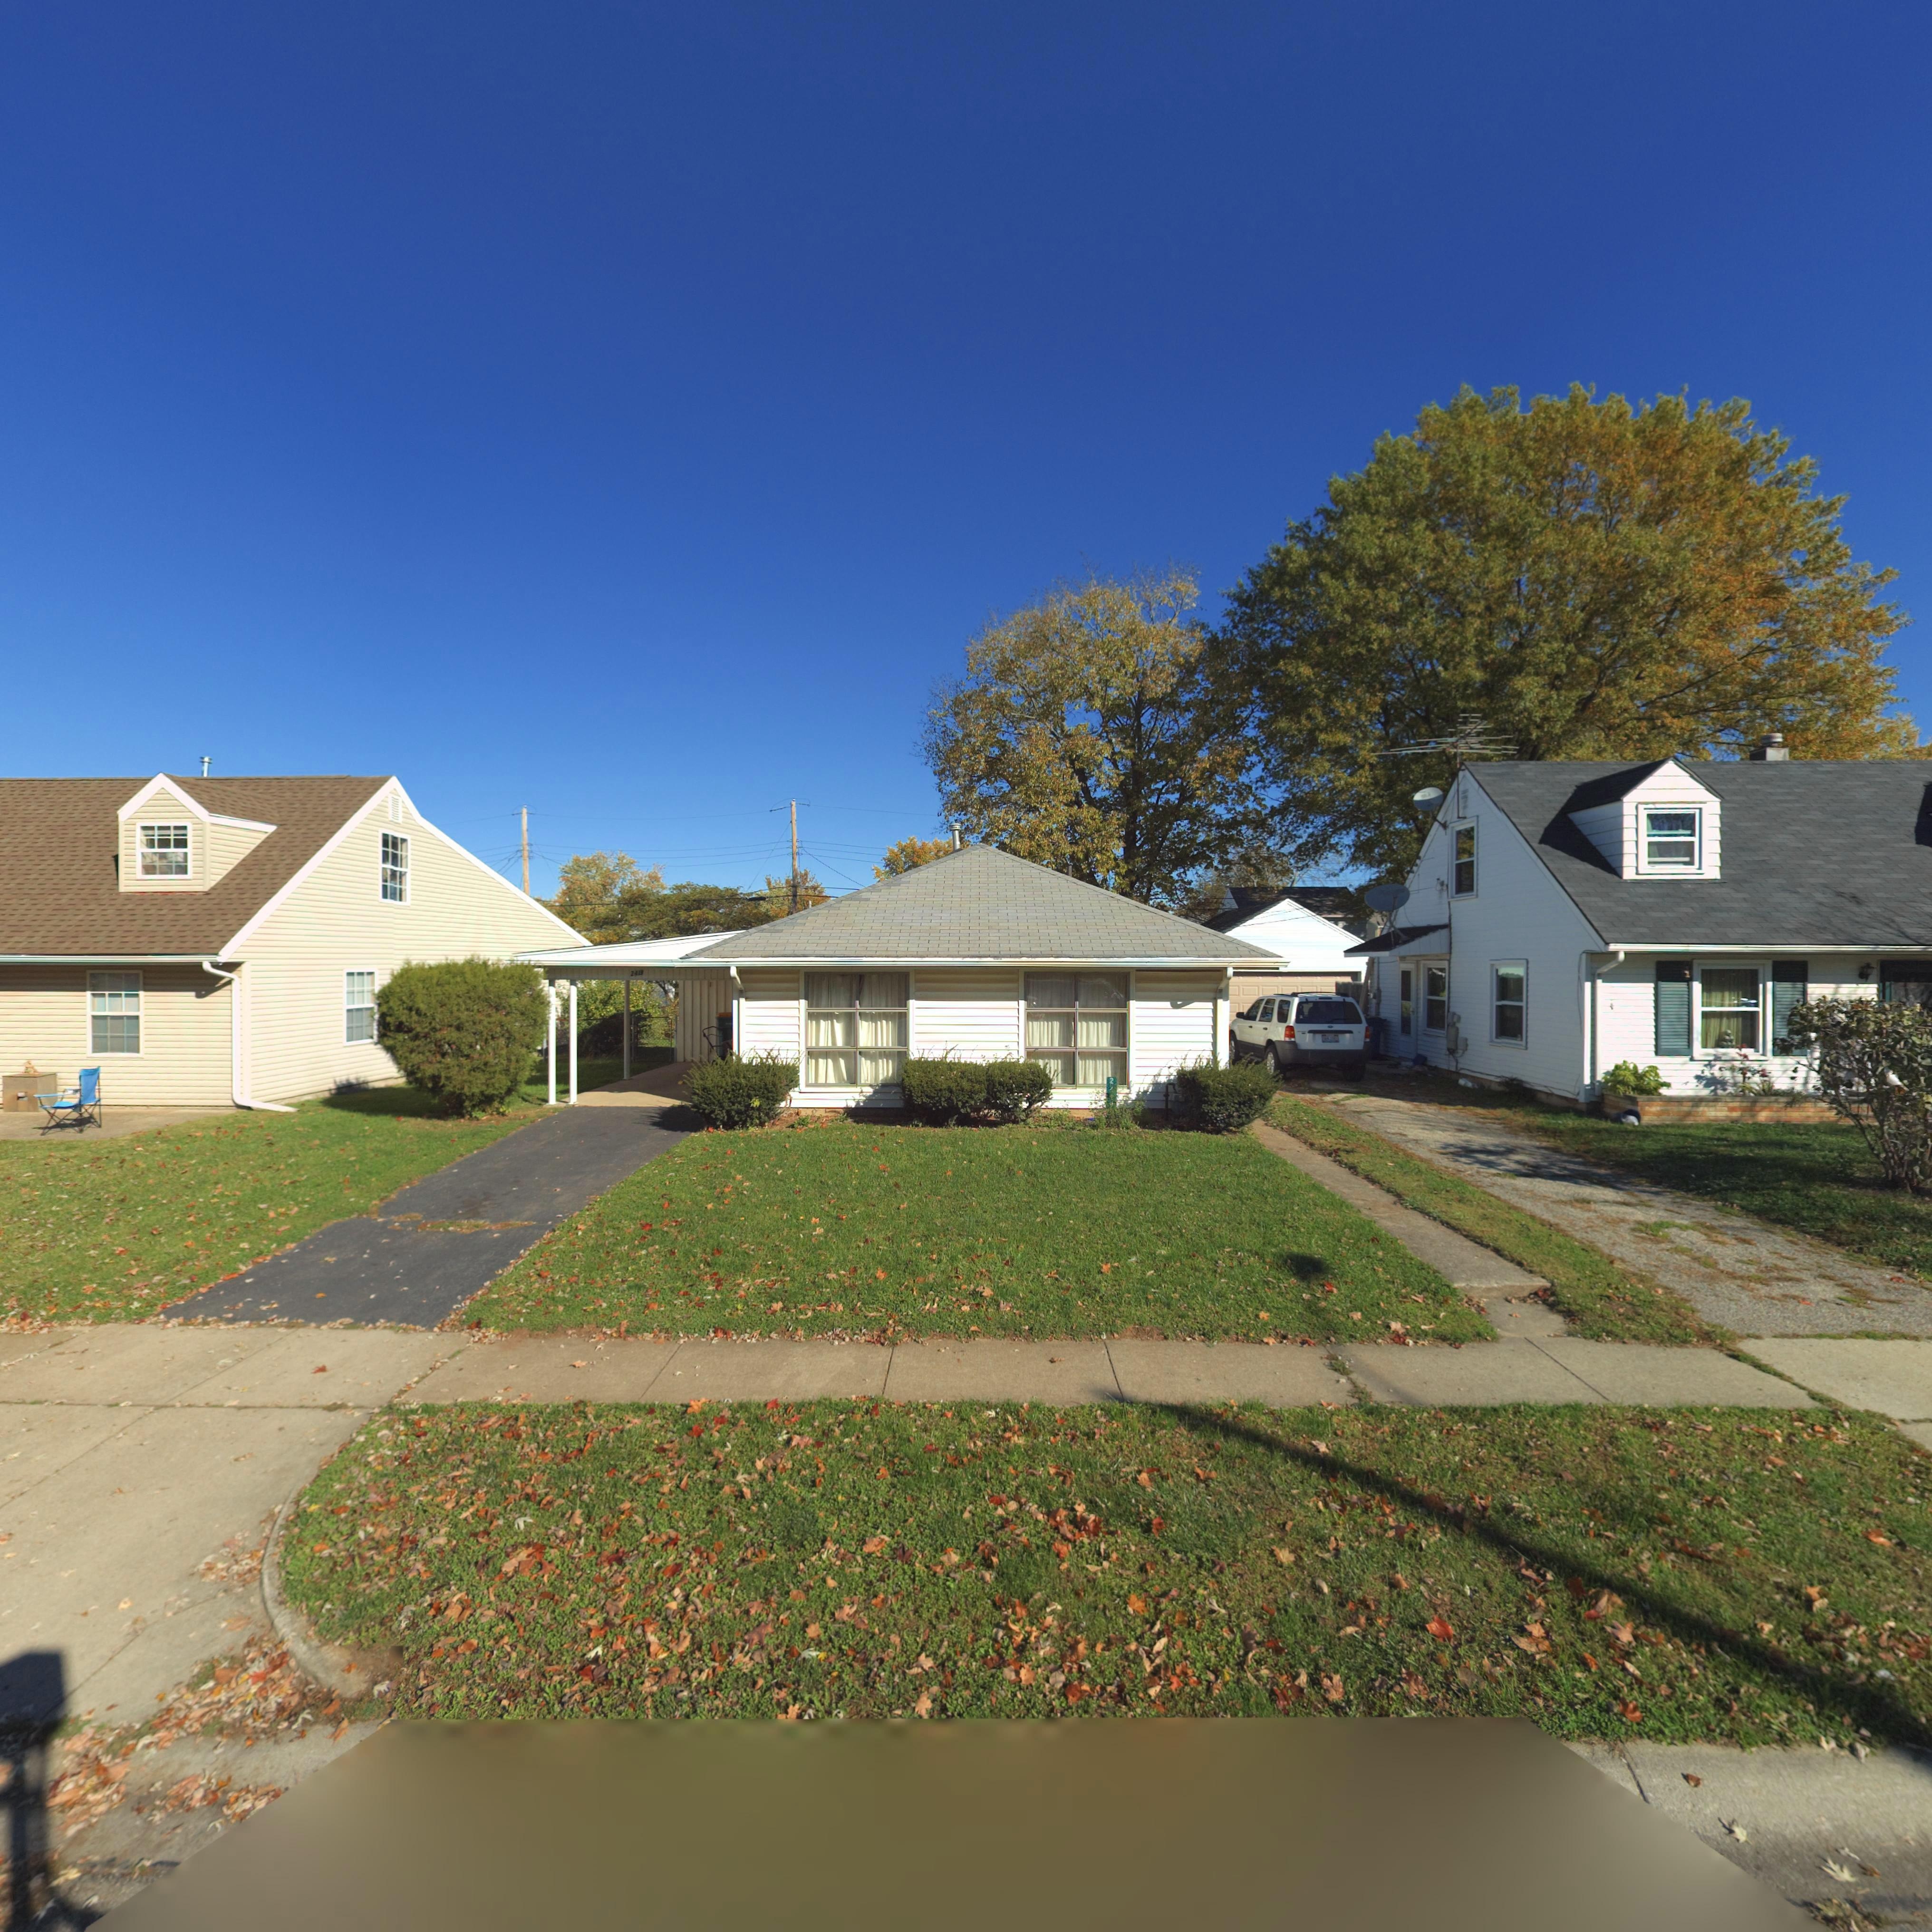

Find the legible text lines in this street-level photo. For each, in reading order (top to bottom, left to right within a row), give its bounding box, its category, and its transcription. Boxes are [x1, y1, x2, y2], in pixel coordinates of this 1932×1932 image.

[630, 968, 645, 977] StreetNumber: 2419
[1109, 1077, 1114, 1085] StreetNumber: 2